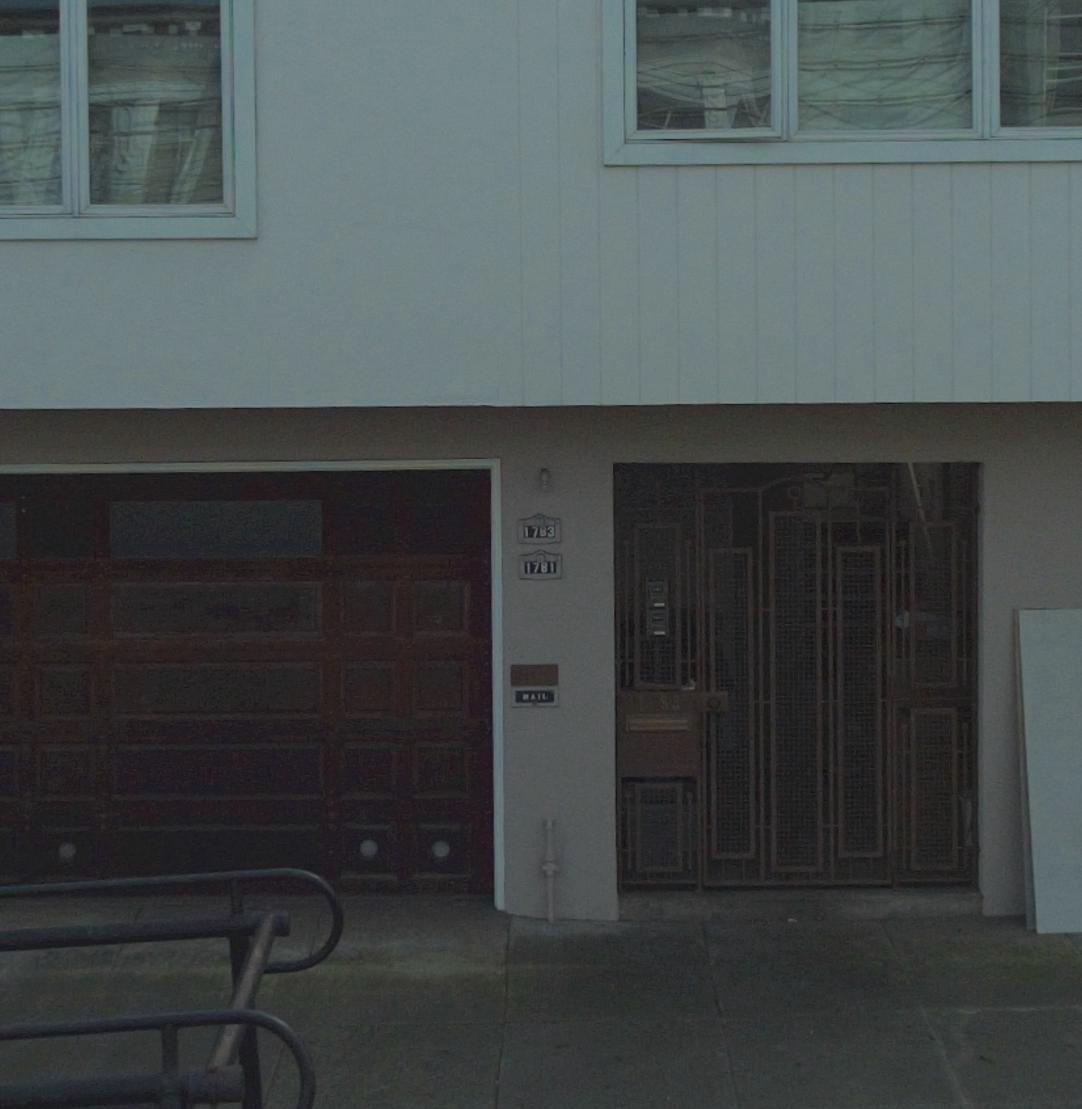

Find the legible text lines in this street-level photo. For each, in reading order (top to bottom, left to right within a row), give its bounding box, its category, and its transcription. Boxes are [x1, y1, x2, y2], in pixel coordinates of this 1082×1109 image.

[522, 524, 557, 540] StreetNumber: 1783
[524, 559, 556, 575] StreetNumber: 1781